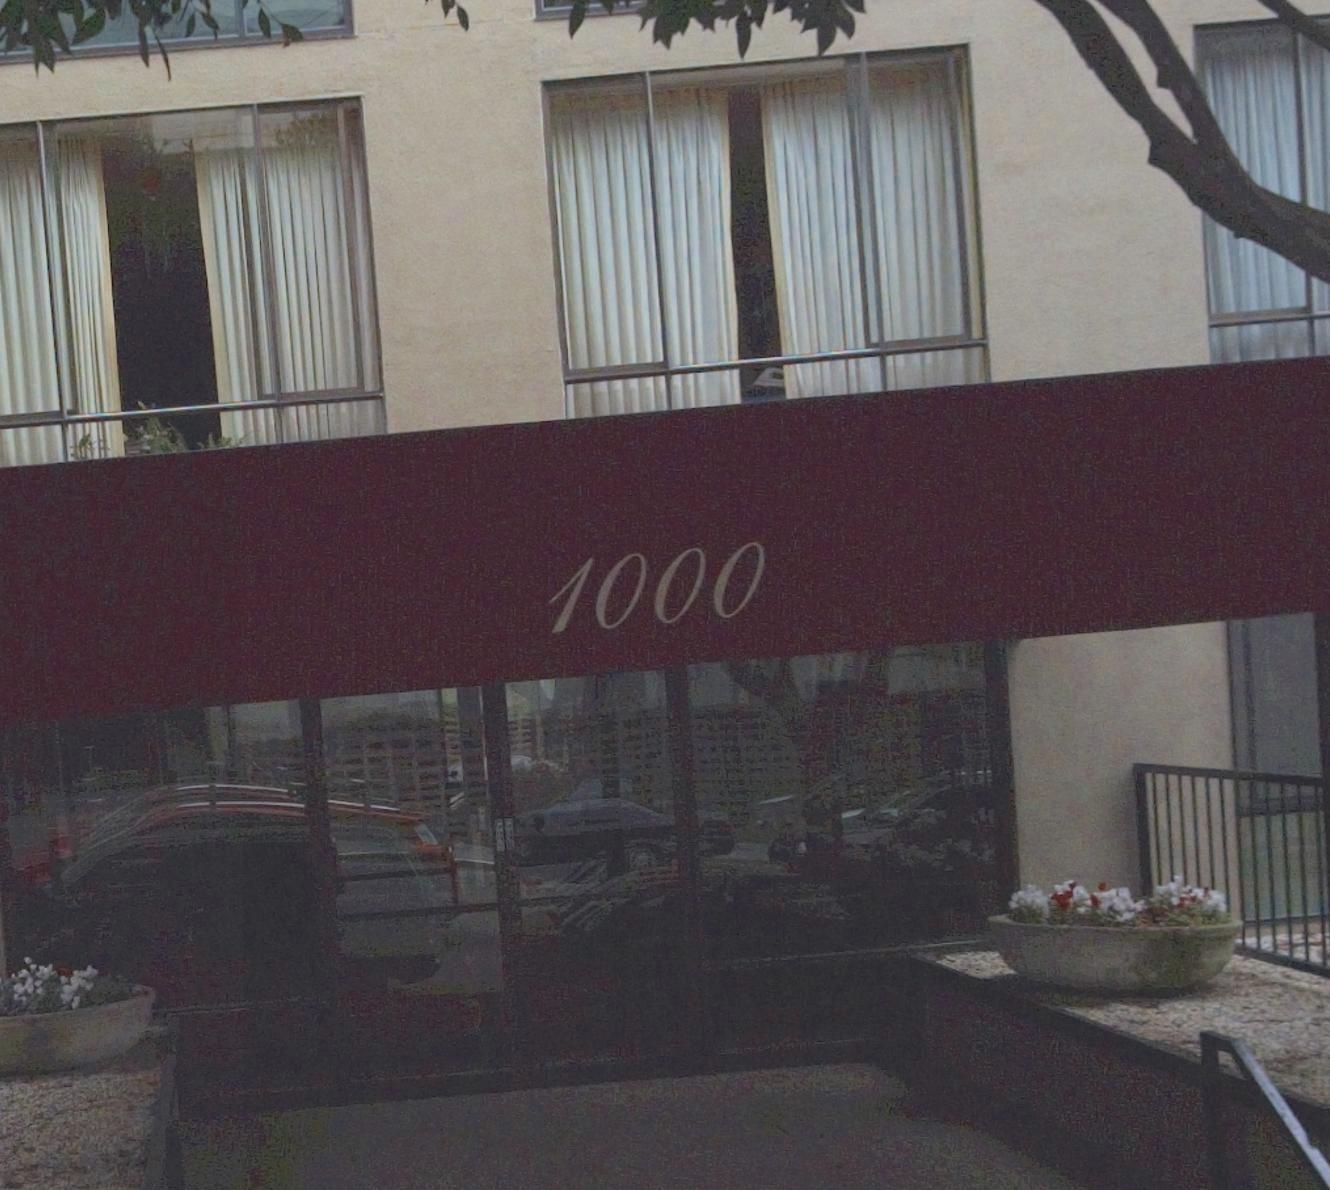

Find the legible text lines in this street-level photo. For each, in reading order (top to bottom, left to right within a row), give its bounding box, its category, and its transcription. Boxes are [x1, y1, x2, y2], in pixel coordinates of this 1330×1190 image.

[541, 541, 767, 636] StreetNumber: 1000